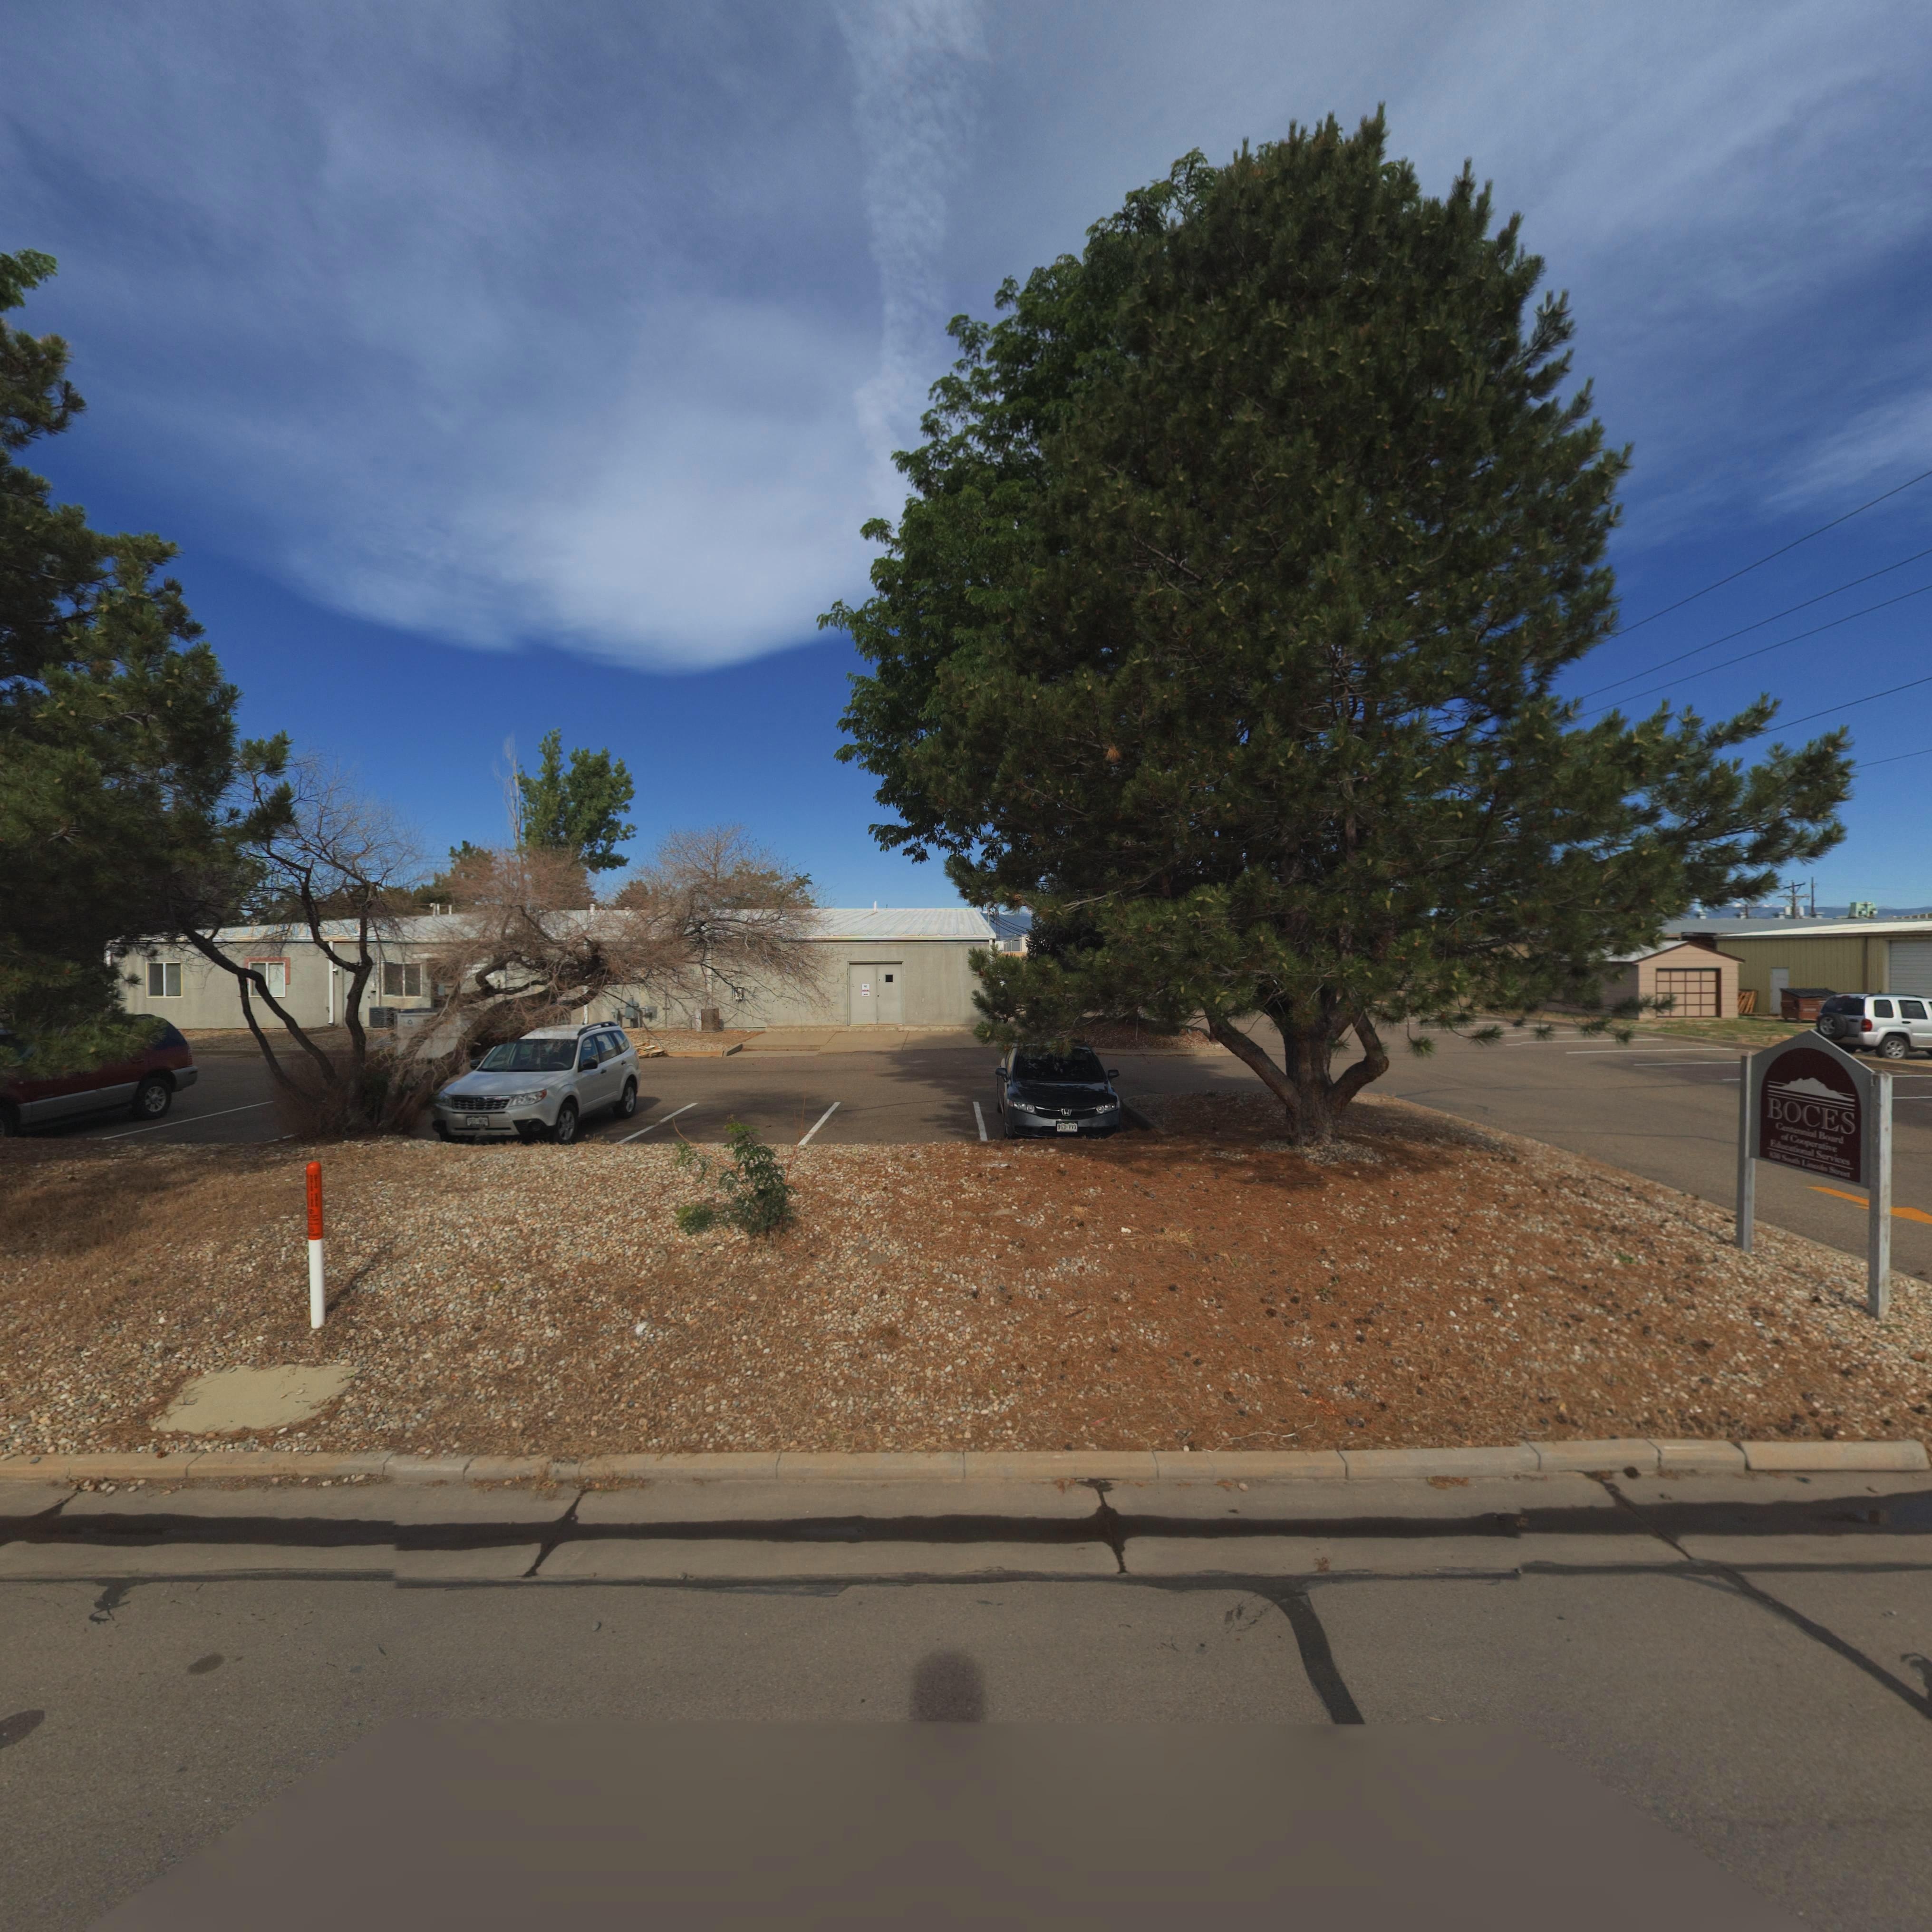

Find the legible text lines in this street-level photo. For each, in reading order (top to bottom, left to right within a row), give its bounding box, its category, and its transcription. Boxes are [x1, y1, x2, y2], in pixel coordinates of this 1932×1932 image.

[1768, 1150, 1781, 1161] StreetNumber: 830
[1781, 1152, 1851, 1179] BusinessName: South Lincoln Street